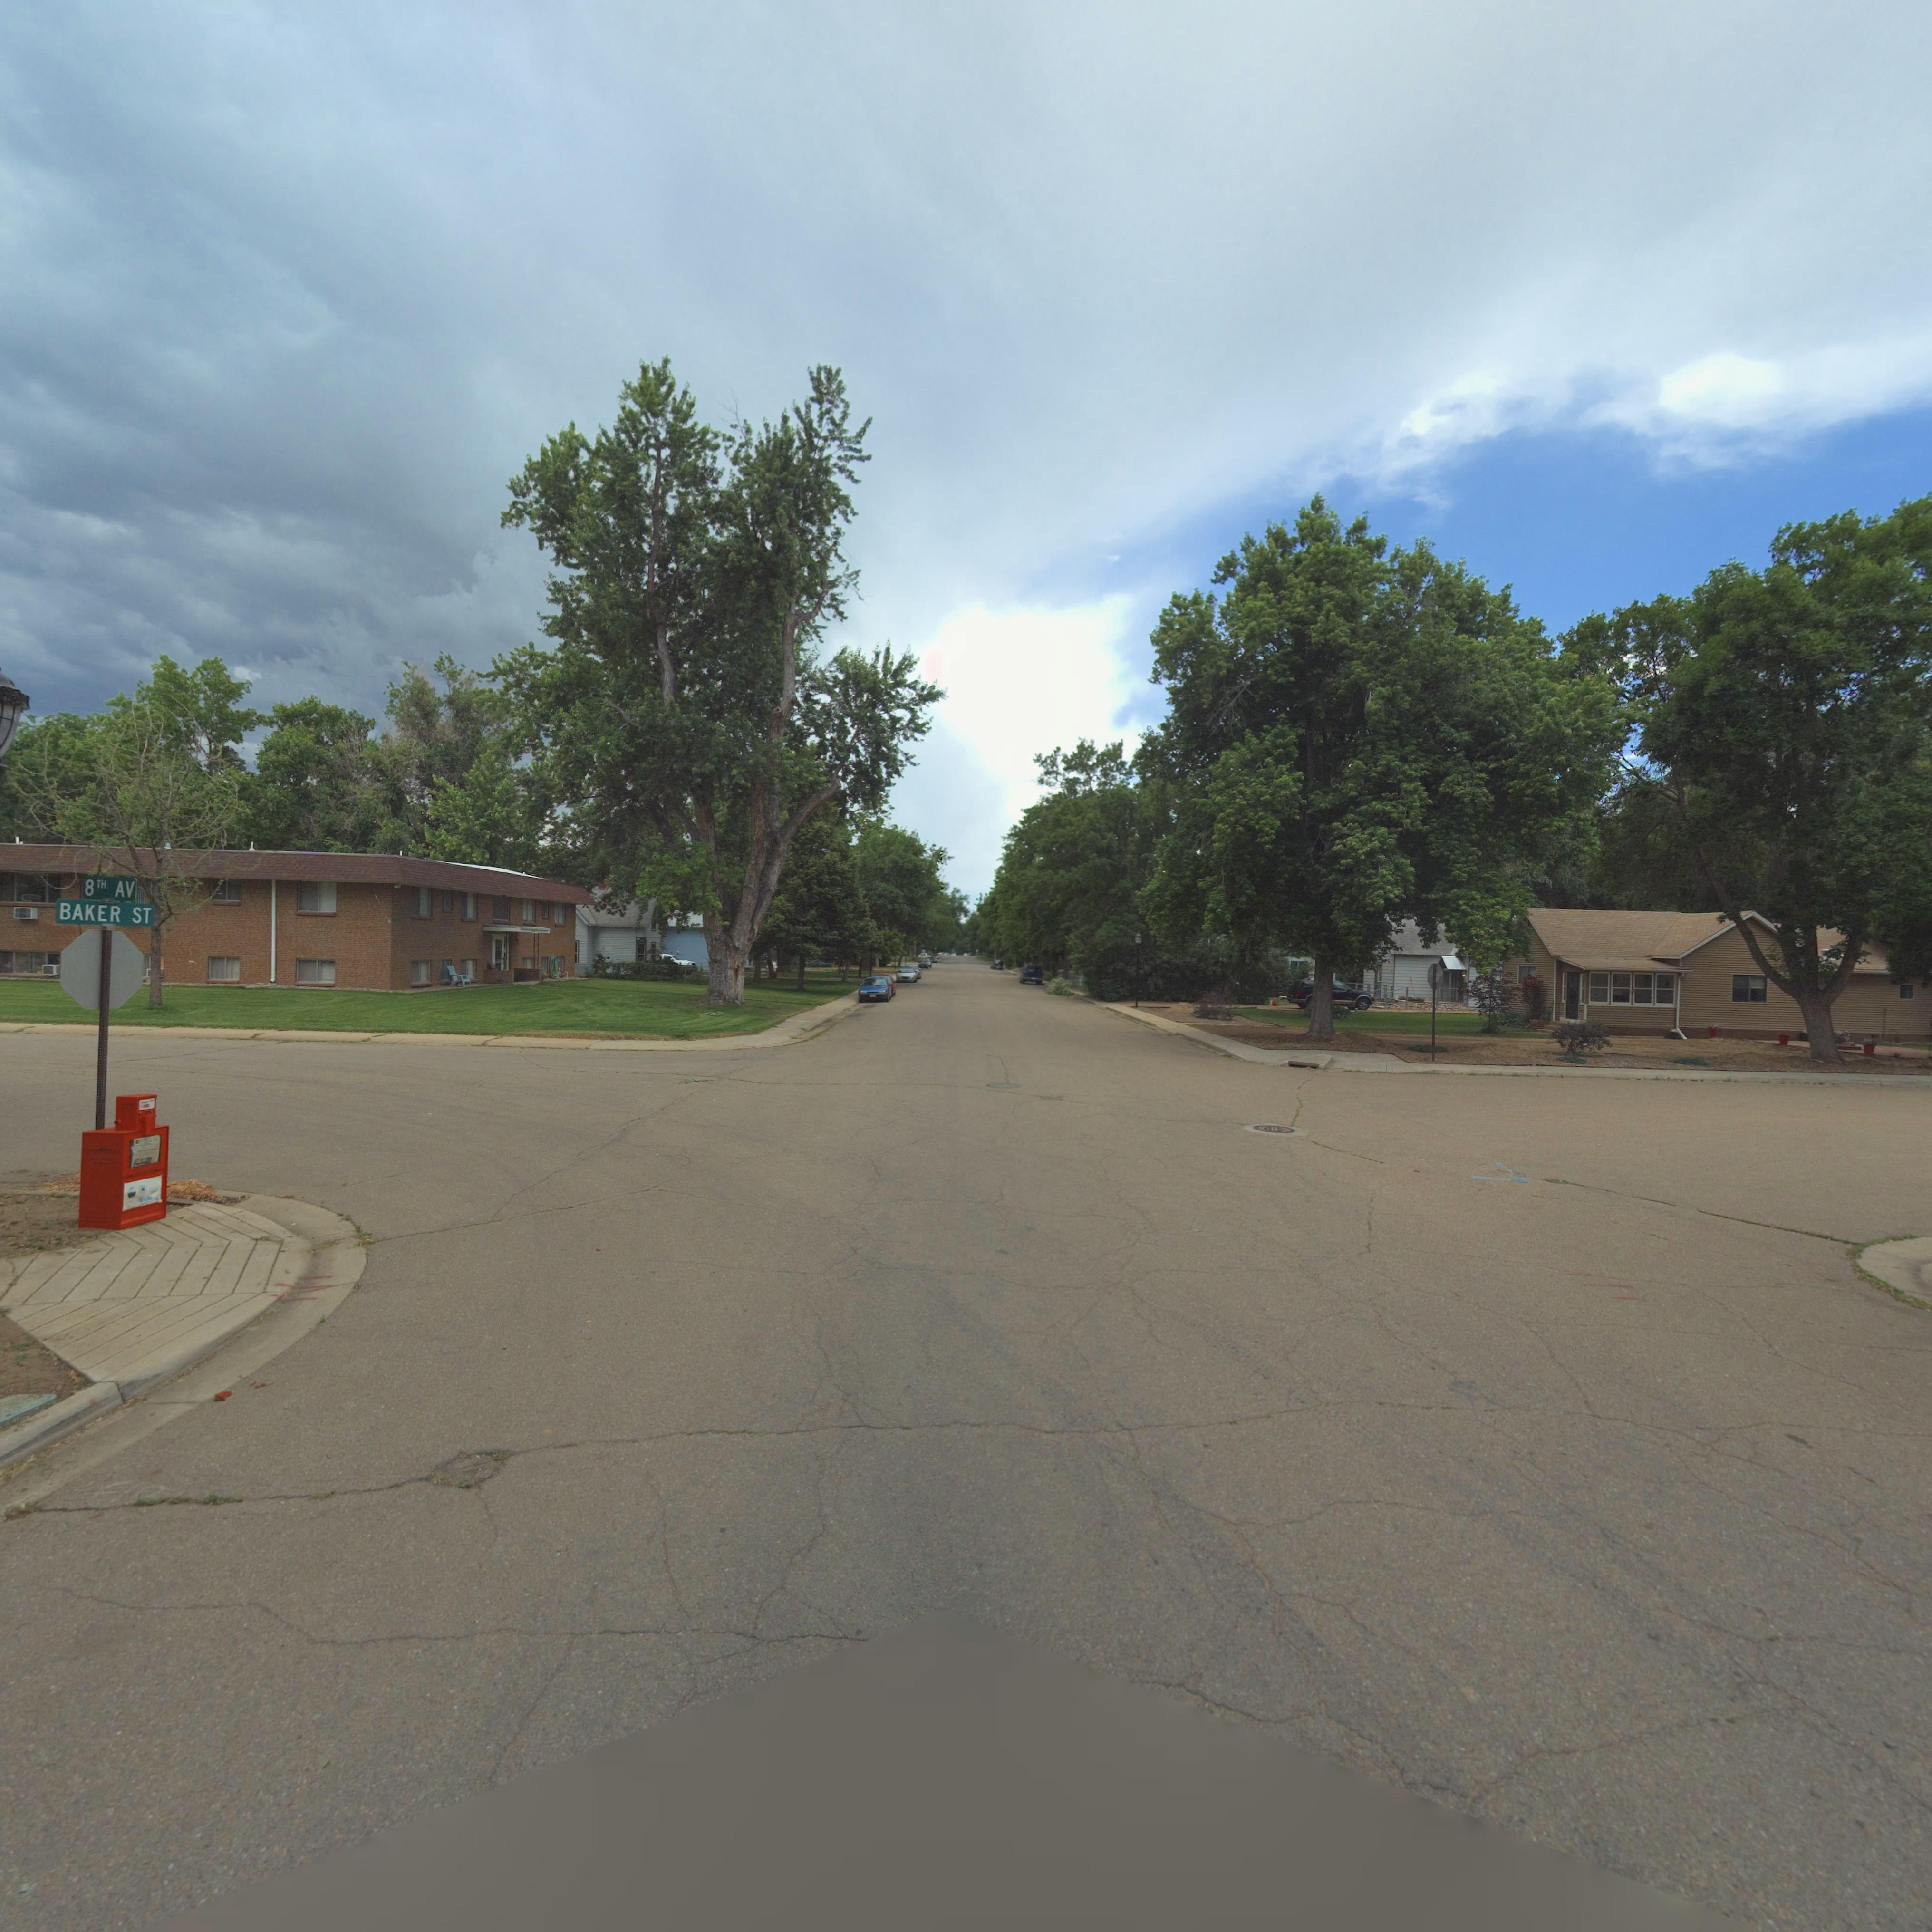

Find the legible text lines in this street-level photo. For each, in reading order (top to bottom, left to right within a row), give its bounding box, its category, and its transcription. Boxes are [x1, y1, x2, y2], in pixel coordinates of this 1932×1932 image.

[84, 879, 136, 899] StreetName: 8TH AV
[59, 903, 151, 923] StreetName: BAKER ST